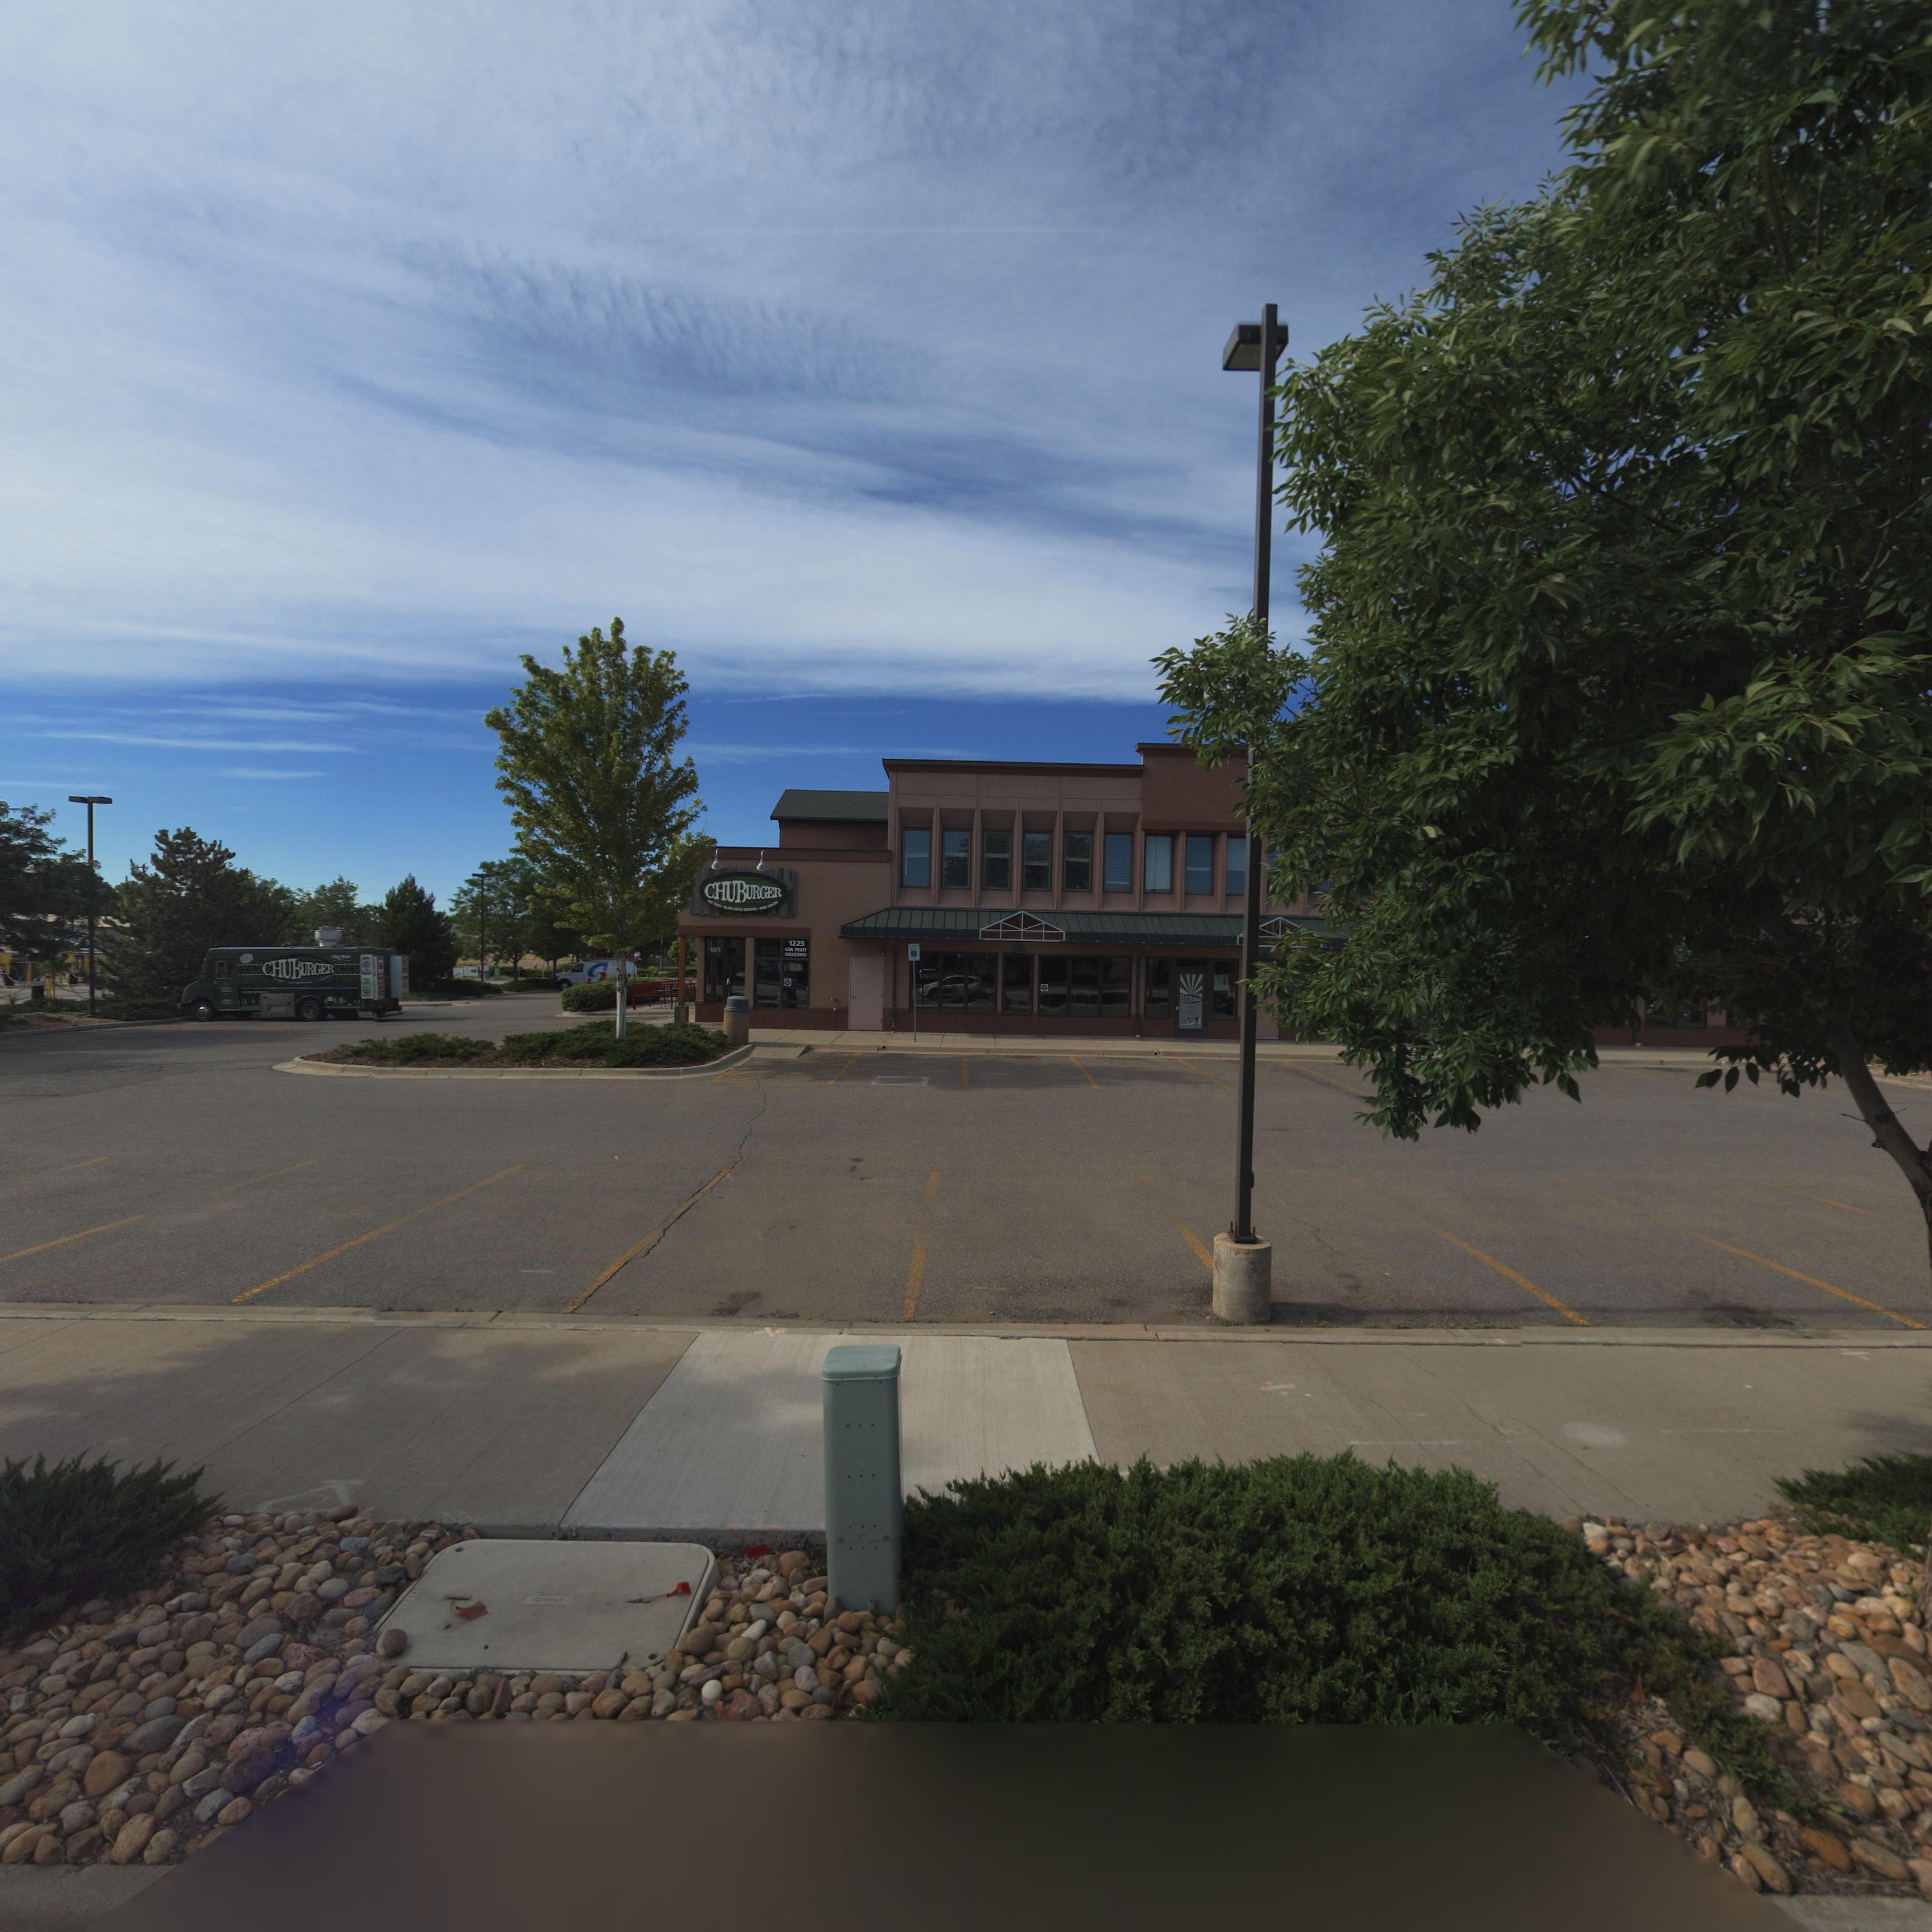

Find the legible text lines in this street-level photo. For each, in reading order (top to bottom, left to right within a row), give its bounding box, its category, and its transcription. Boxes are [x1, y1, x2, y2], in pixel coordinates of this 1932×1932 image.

[704, 880, 782, 903] BusinessName: CHUBURGER
[789, 940, 805, 946] StreetNumber: 1225
[785, 947, 807, 951] StreetName: KEN PRATT
[784, 952, 807, 956] None: BOULEVARD